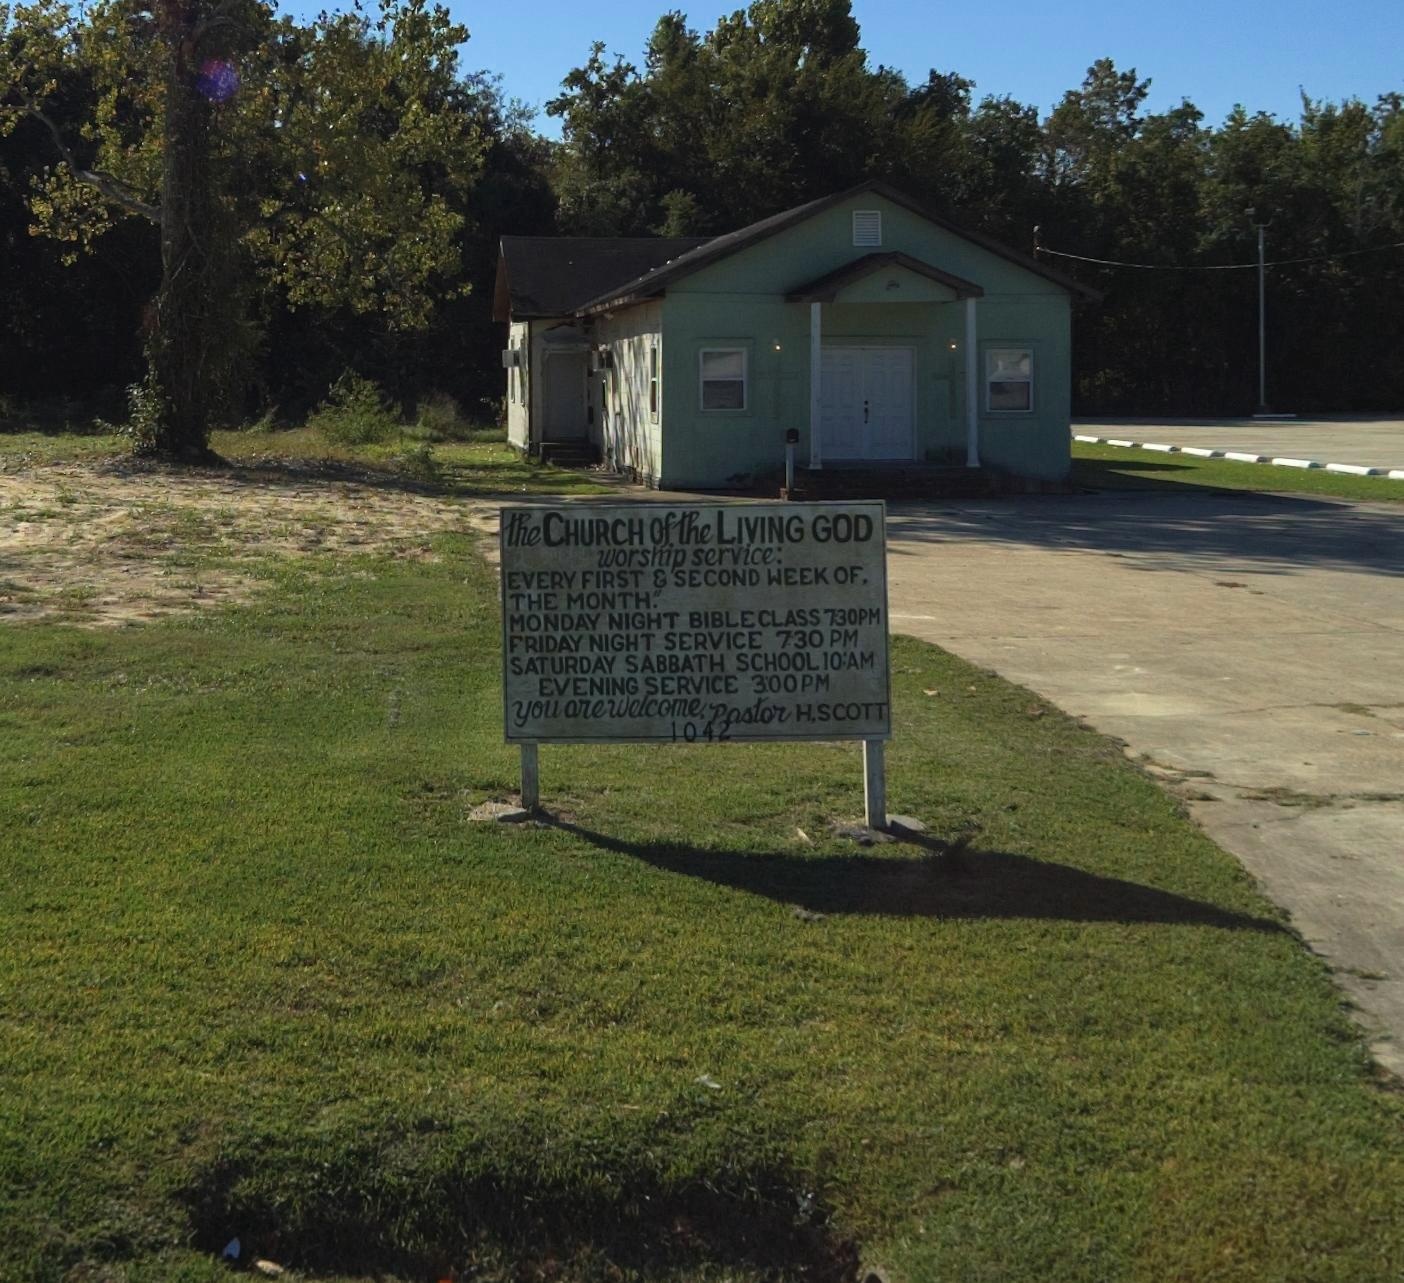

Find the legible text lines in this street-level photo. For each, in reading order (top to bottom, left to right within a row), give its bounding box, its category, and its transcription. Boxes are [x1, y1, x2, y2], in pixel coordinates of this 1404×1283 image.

[503, 509, 874, 548] BusinessName: the CHURCH of the LIVING GOD
[594, 542, 784, 568] None: worship service:
[506, 565, 870, 591] None: EVERY FIRST & SECOND WEEK OF,
[508, 591, 658, 612] None: THE MONTH.
[509, 607, 881, 633] None: MONDAY NIGHT BIBLE CLASS 7:30PM
[508, 628, 859, 655] None: FRIDAY NIGHT SERVICE 7:30PM
[509, 650, 875, 676] None: SATURDAY SABBATH SCHOOL 10:AM
[537, 674, 831, 698] None: EVENING SERVICE 3:00PM
[510, 694, 708, 720] None: you are welcome
[709, 696, 888, 725] None: Pastor H.SCOTT
[669, 719, 732, 743] StreetNumber: 1042